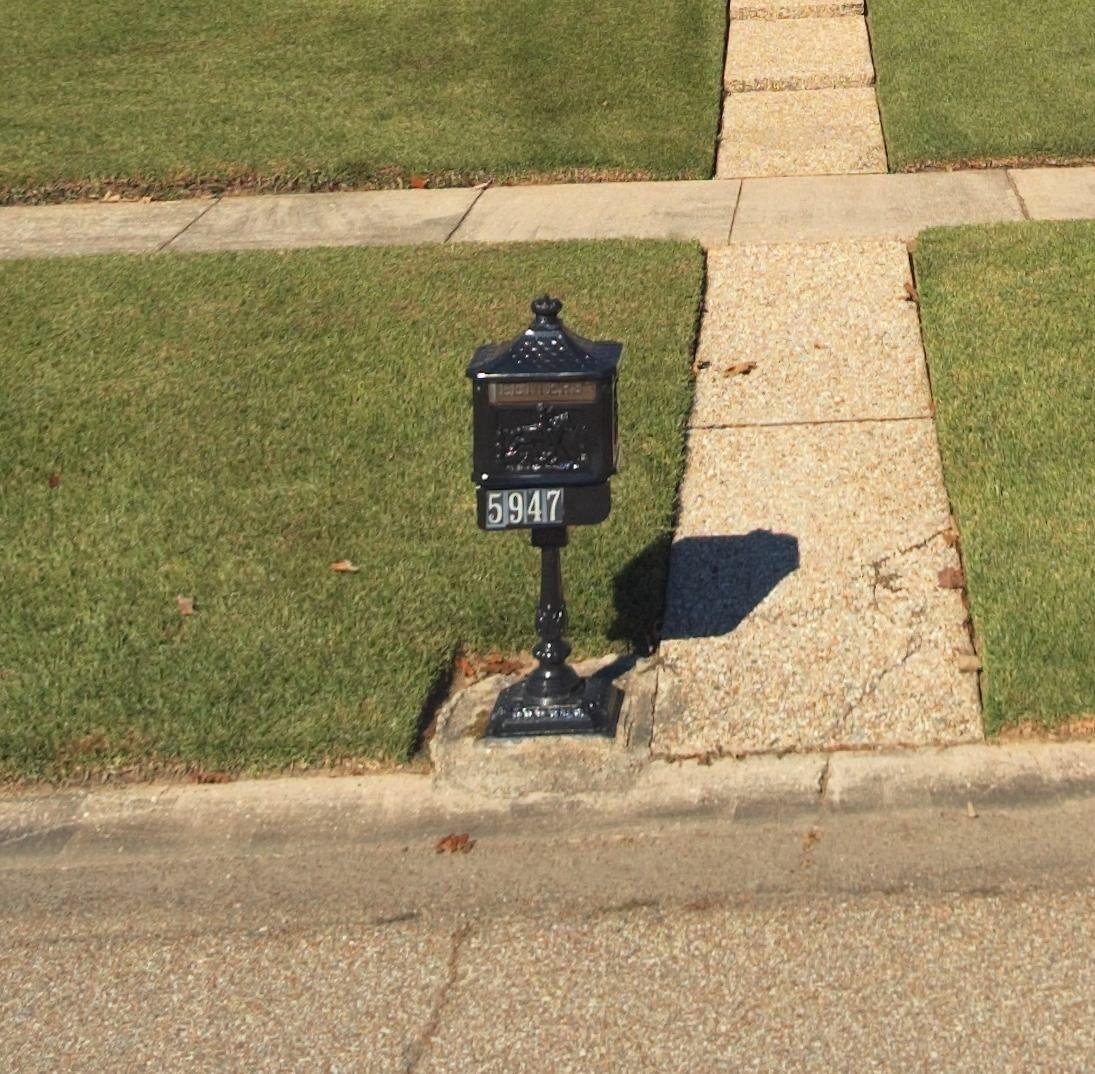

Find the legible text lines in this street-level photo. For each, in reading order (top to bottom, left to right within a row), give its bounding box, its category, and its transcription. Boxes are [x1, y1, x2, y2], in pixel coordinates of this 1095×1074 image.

[496, 379, 587, 399] None: LETTERS
[485, 488, 564, 527] StreetNumber: 5947